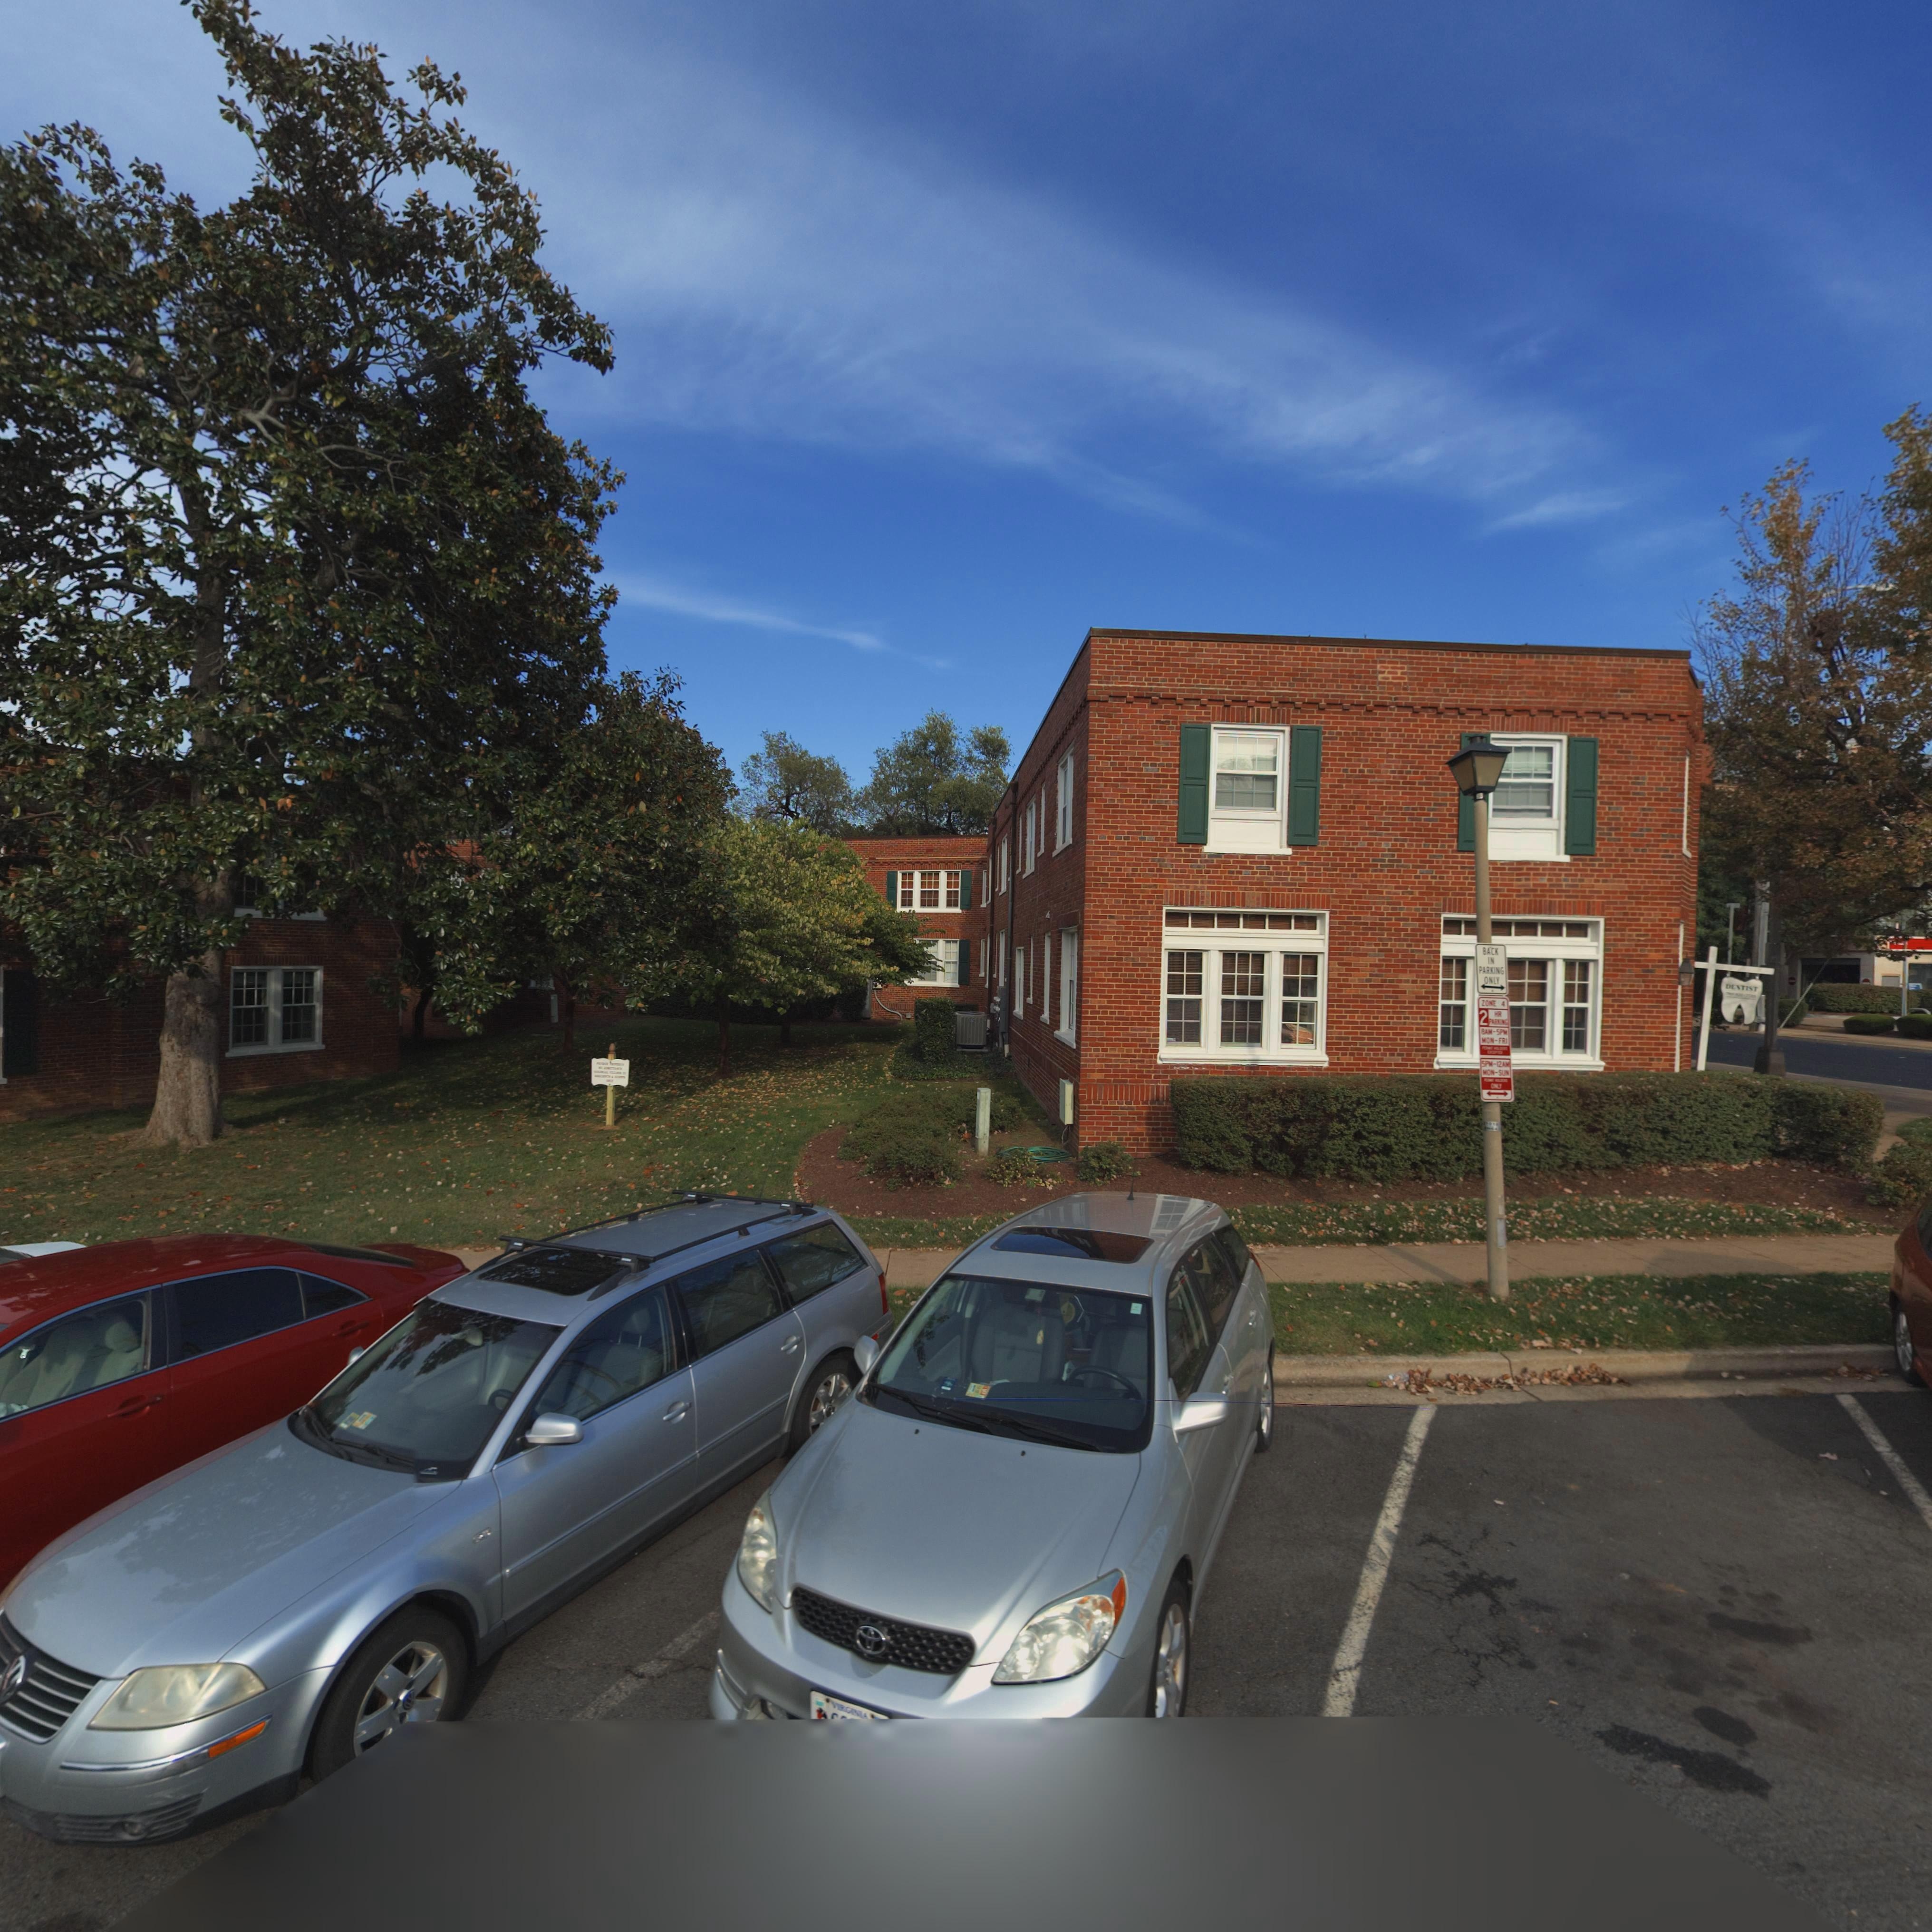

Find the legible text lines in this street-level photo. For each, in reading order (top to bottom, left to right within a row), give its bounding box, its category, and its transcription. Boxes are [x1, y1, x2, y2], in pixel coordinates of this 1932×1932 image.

[1482, 947, 1498, 956] None: BACK
[1487, 956, 1495, 965] None: IN
[1478, 966, 1505, 976] None: PARKING
[1484, 976, 1500, 985] None: ONLY
[1726, 983, 1758, 993] None: DENTIST
[1481, 1000, 1505, 1007] None: ZONE 4
[1478, 1009, 1488, 1026] None: 2
[1494, 1011, 1502, 1018] None: HR
[1488, 1018, 1508, 1026] None: PARKING
[1480, 1028, 1507, 1036] None: 8AM-5PM
[1481, 1037, 1508, 1044] None: MON-FRI
[1480, 1060, 1510, 1068] None: 5PM-12AM
[1482, 1069, 1510, 1076] None: MON-SUN
[1490, 1083, 1502, 1089] None: ONLY
[970, 1384, 977, 1392] None: 1
[981, 1388, 988, 1395] None: 15
[831, 1700, 869, 1721] None: VIRGINIA